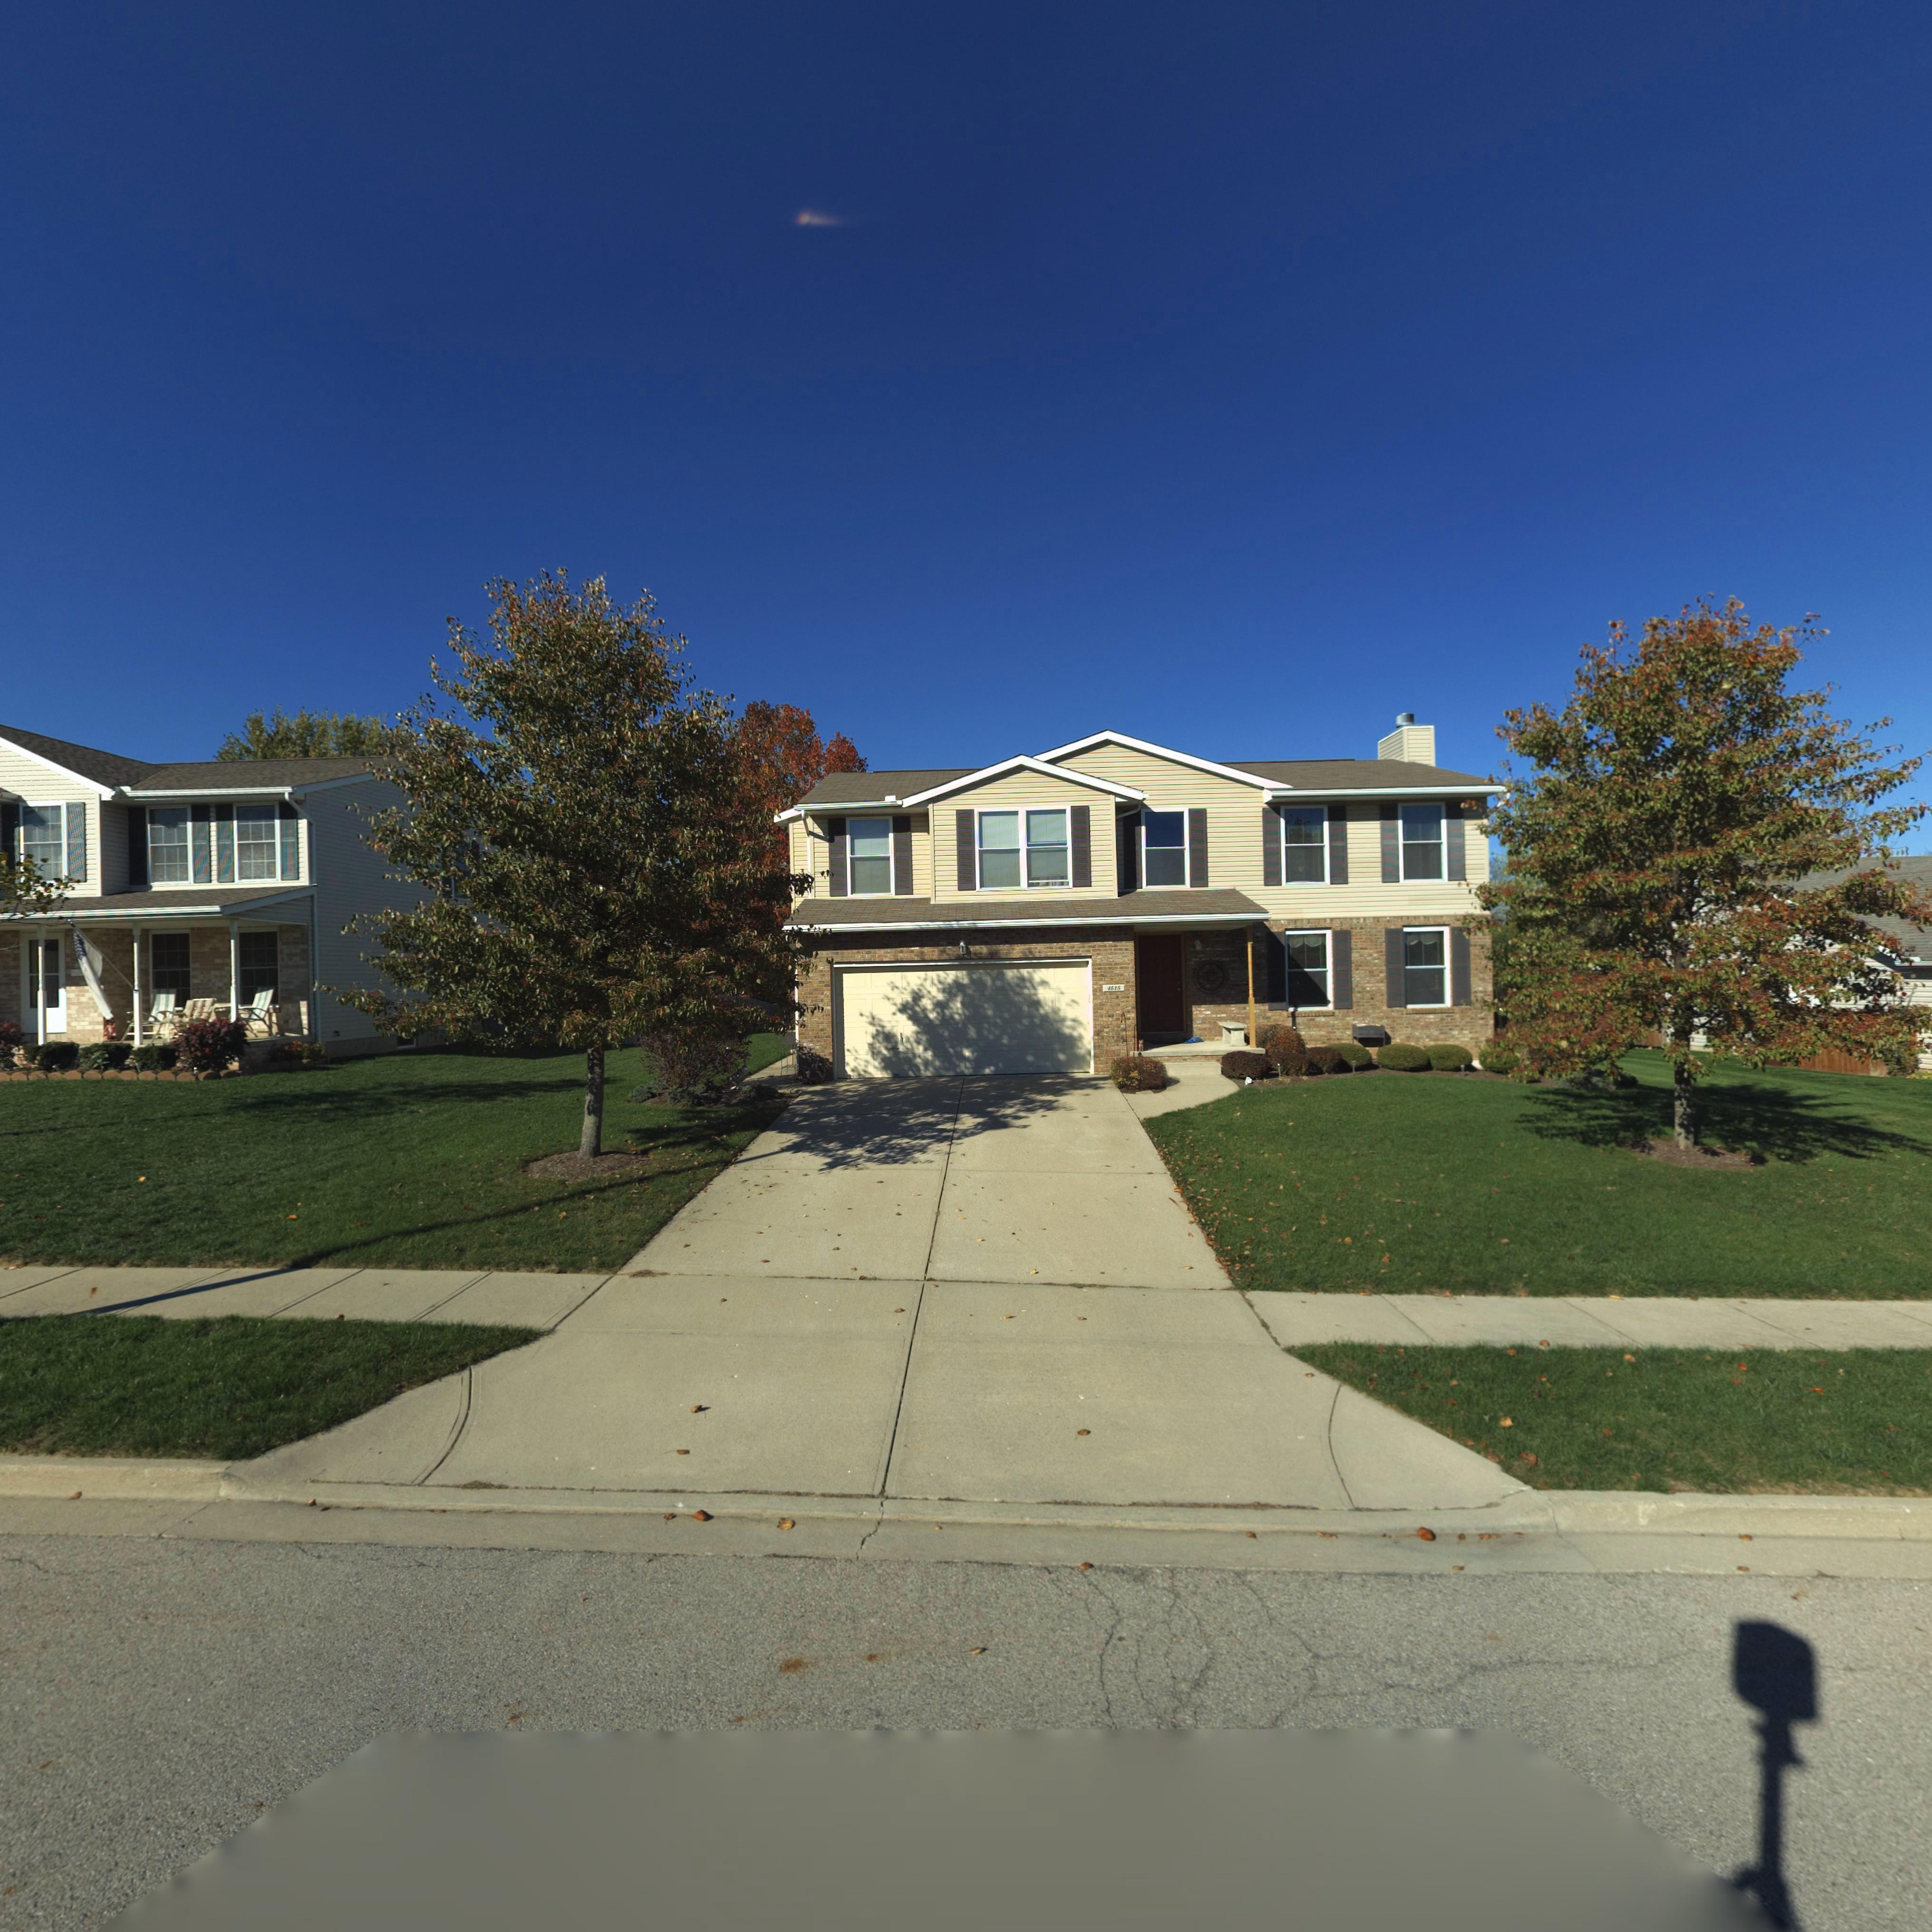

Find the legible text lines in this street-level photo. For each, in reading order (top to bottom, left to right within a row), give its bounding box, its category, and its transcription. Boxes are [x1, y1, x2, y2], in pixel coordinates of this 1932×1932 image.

[1106, 985, 1121, 992] StreetNumber: 4515